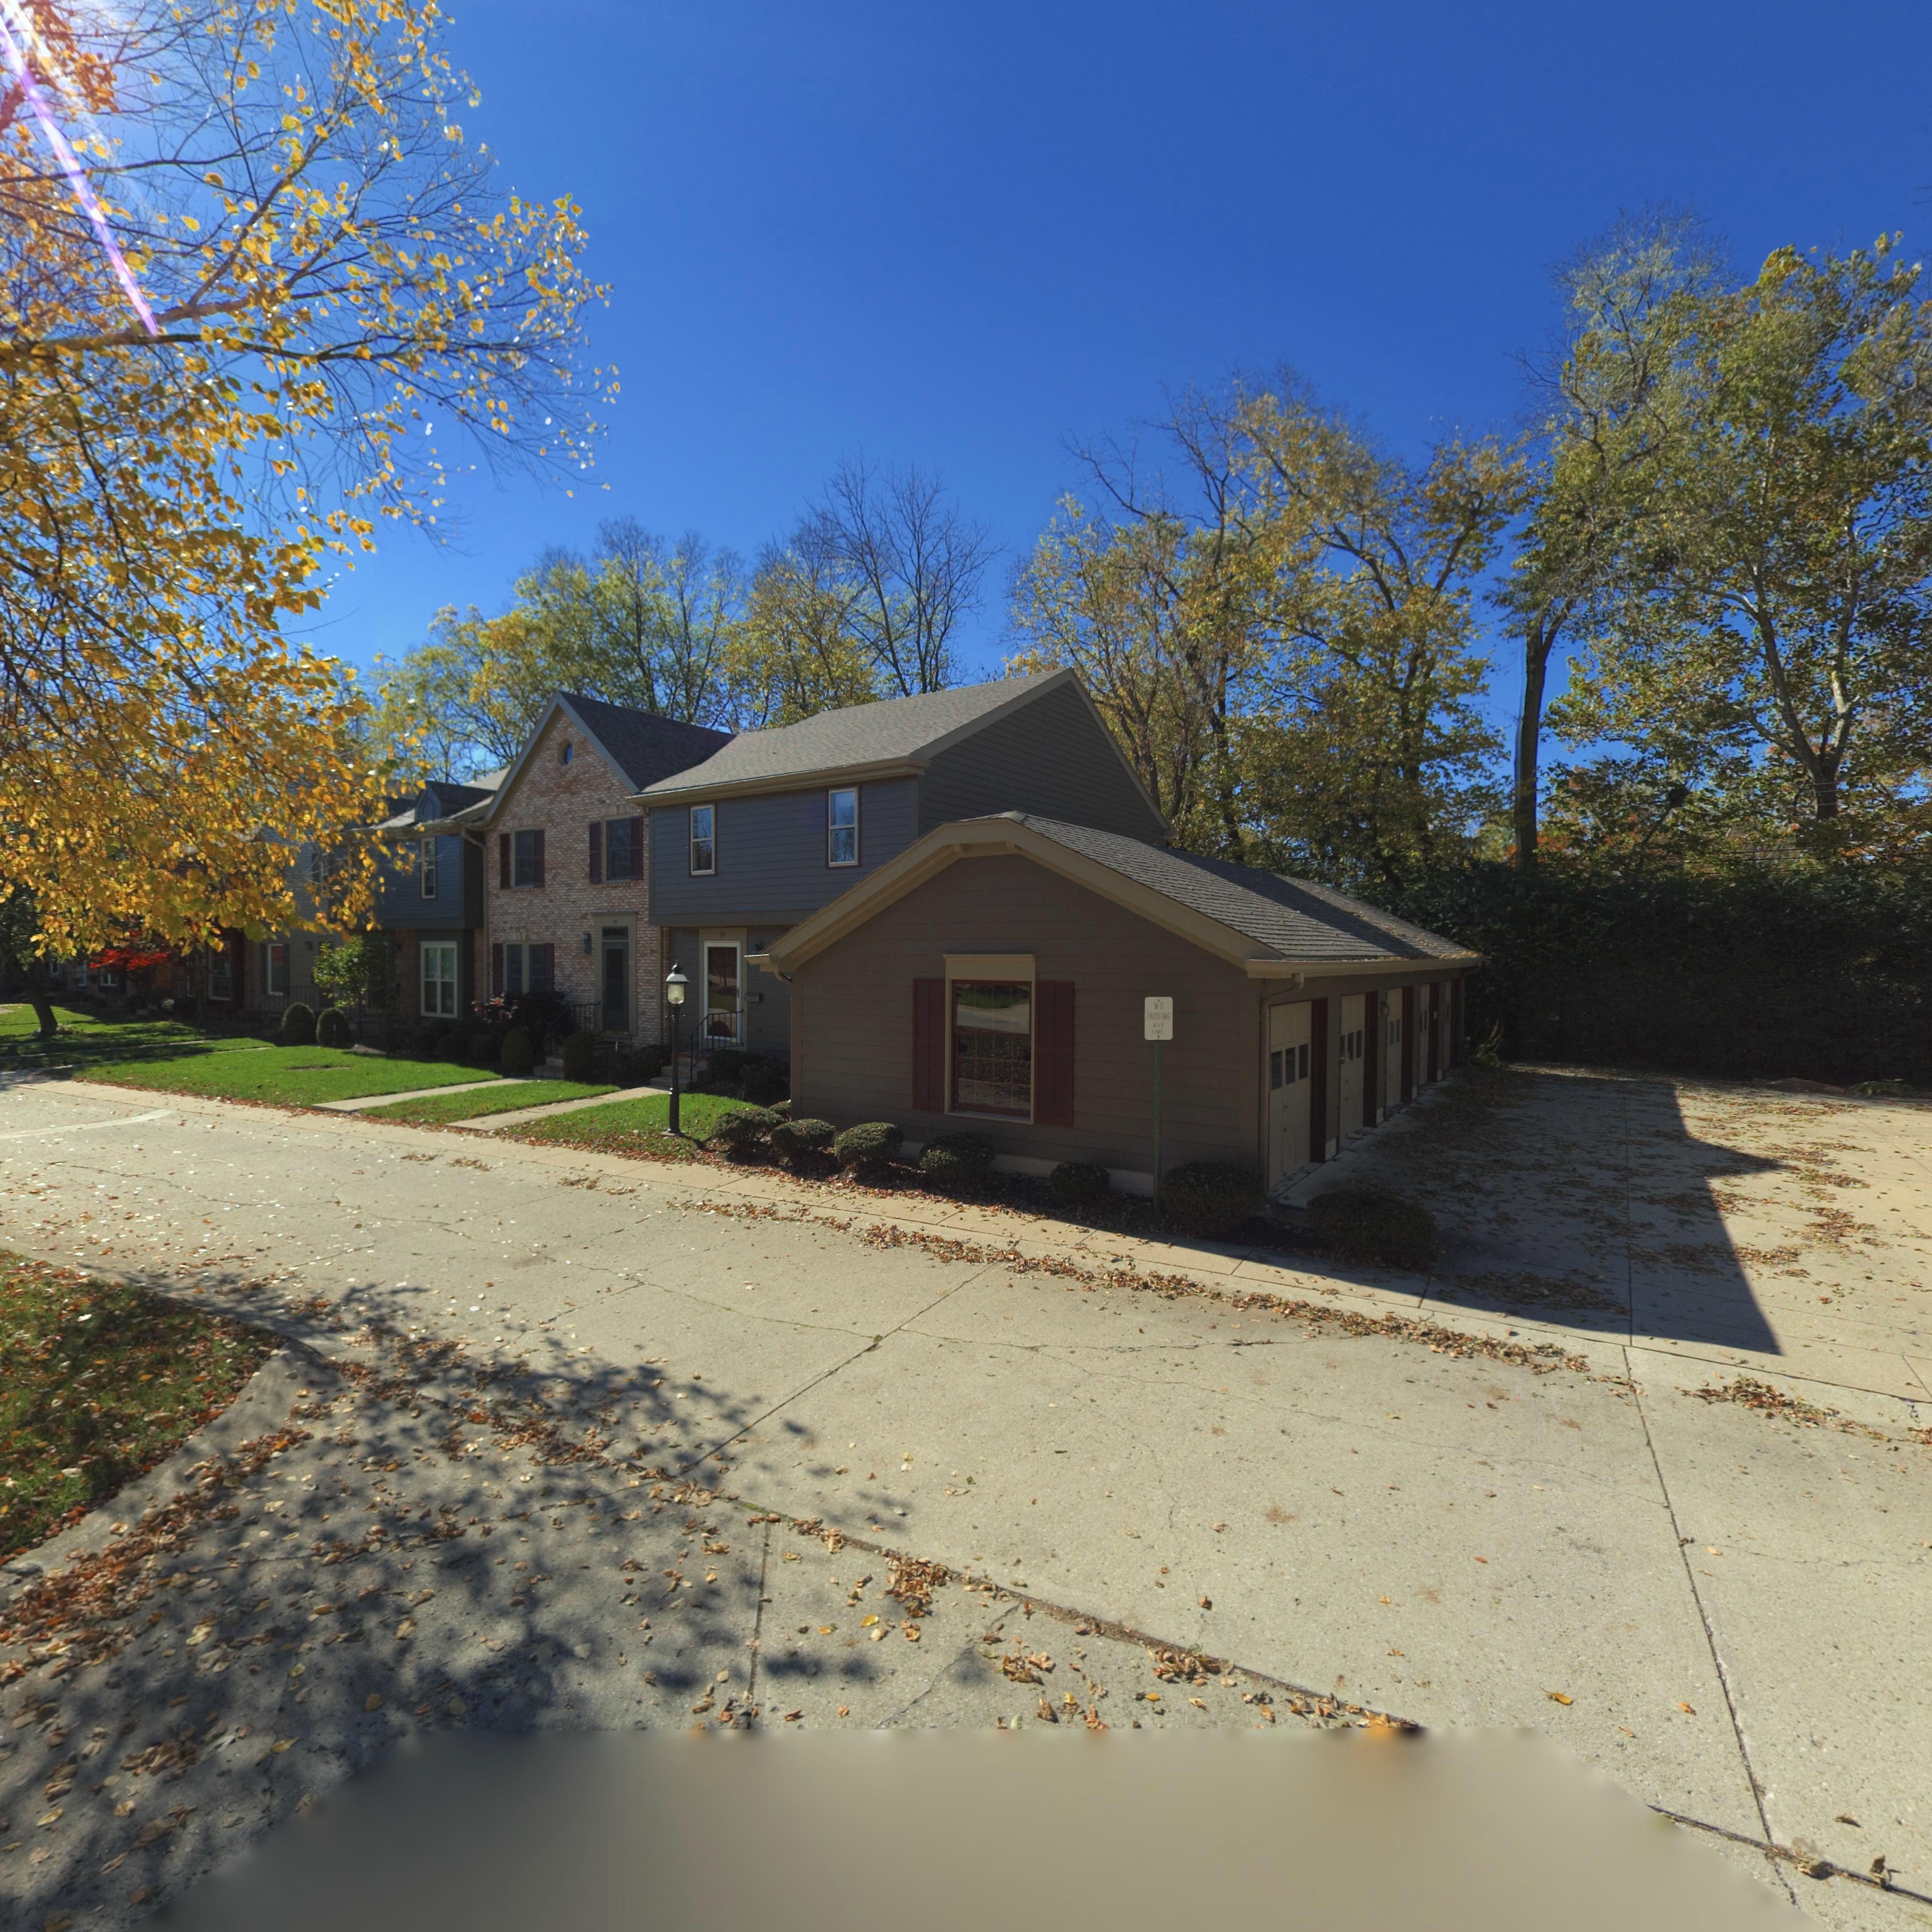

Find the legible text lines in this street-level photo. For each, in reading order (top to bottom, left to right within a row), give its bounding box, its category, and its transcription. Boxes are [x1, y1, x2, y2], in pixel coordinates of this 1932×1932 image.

[719, 931, 725, 938] StreetNumber: 24
[1153, 1001, 1164, 1011] None: NO
[1146, 1012, 1171, 1021] None: PARKING
[1152, 1022, 1165, 1029] None: A*Y
[1150, 1029, 1165, 1035] None: TIME